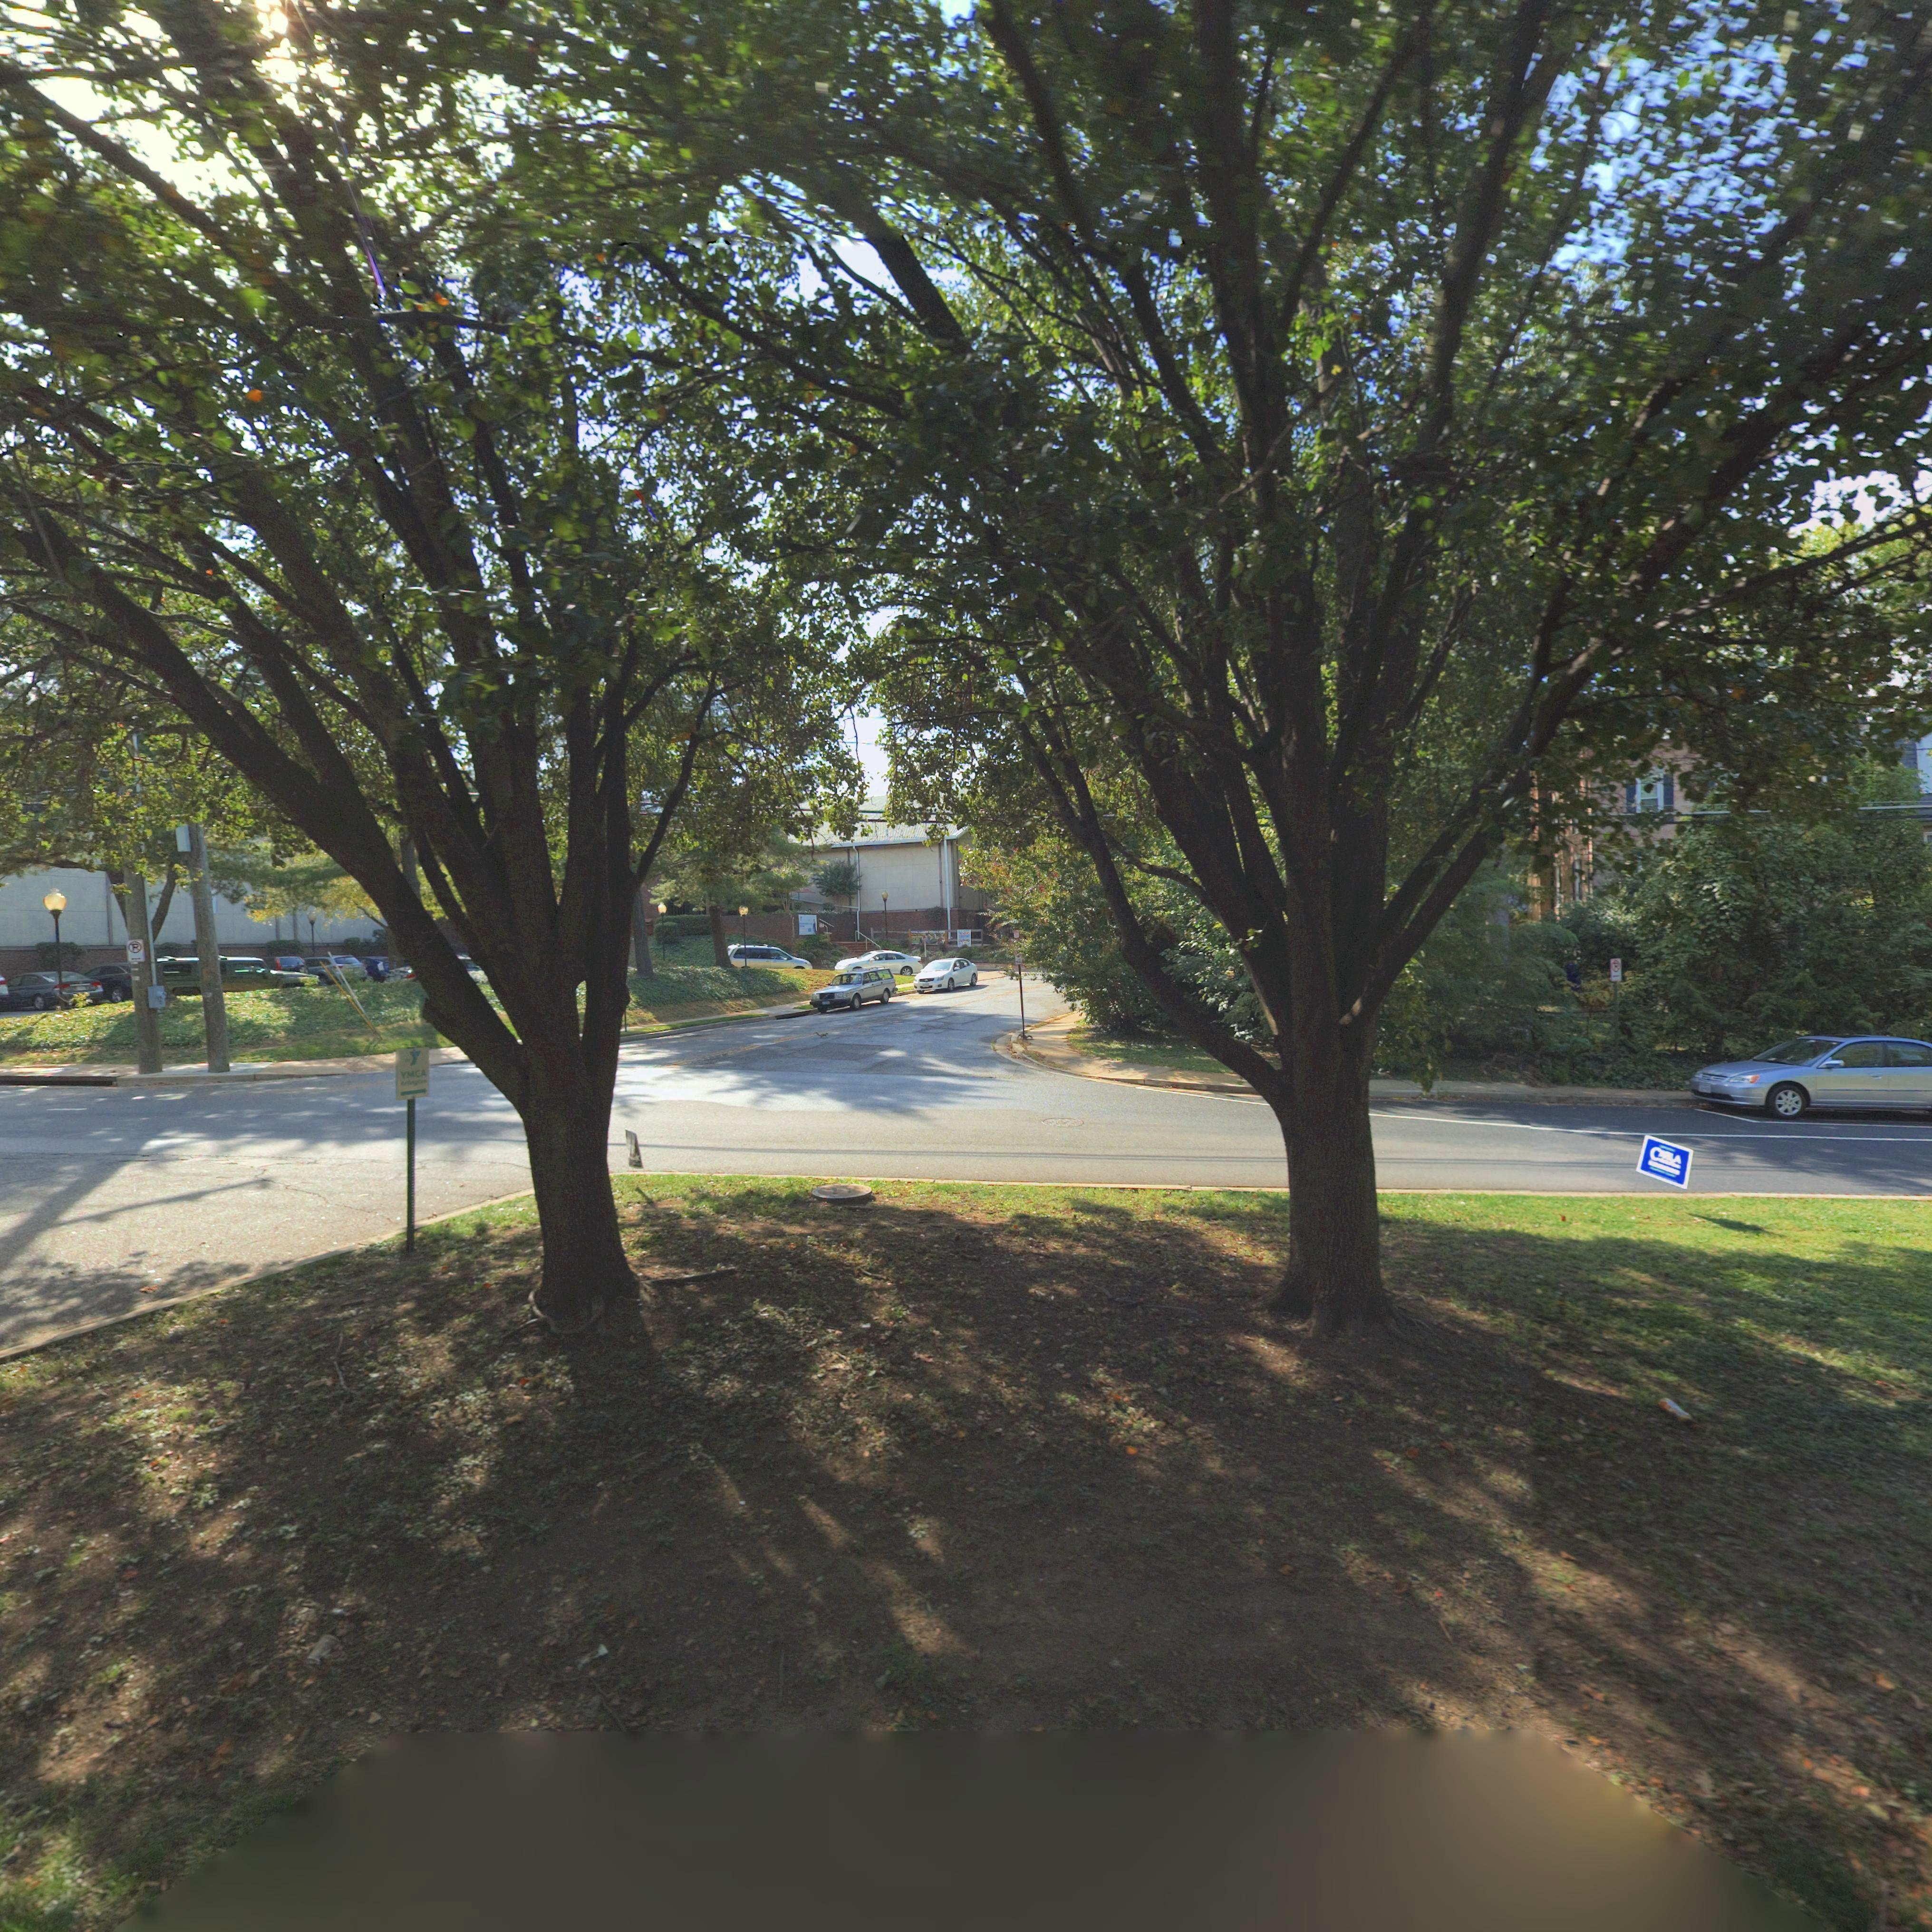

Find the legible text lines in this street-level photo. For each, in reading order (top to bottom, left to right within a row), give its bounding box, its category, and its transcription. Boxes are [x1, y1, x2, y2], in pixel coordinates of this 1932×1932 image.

[400, 1069, 427, 1080] None: YMCA
[1650, 1146, 1682, 1165] None: C***A